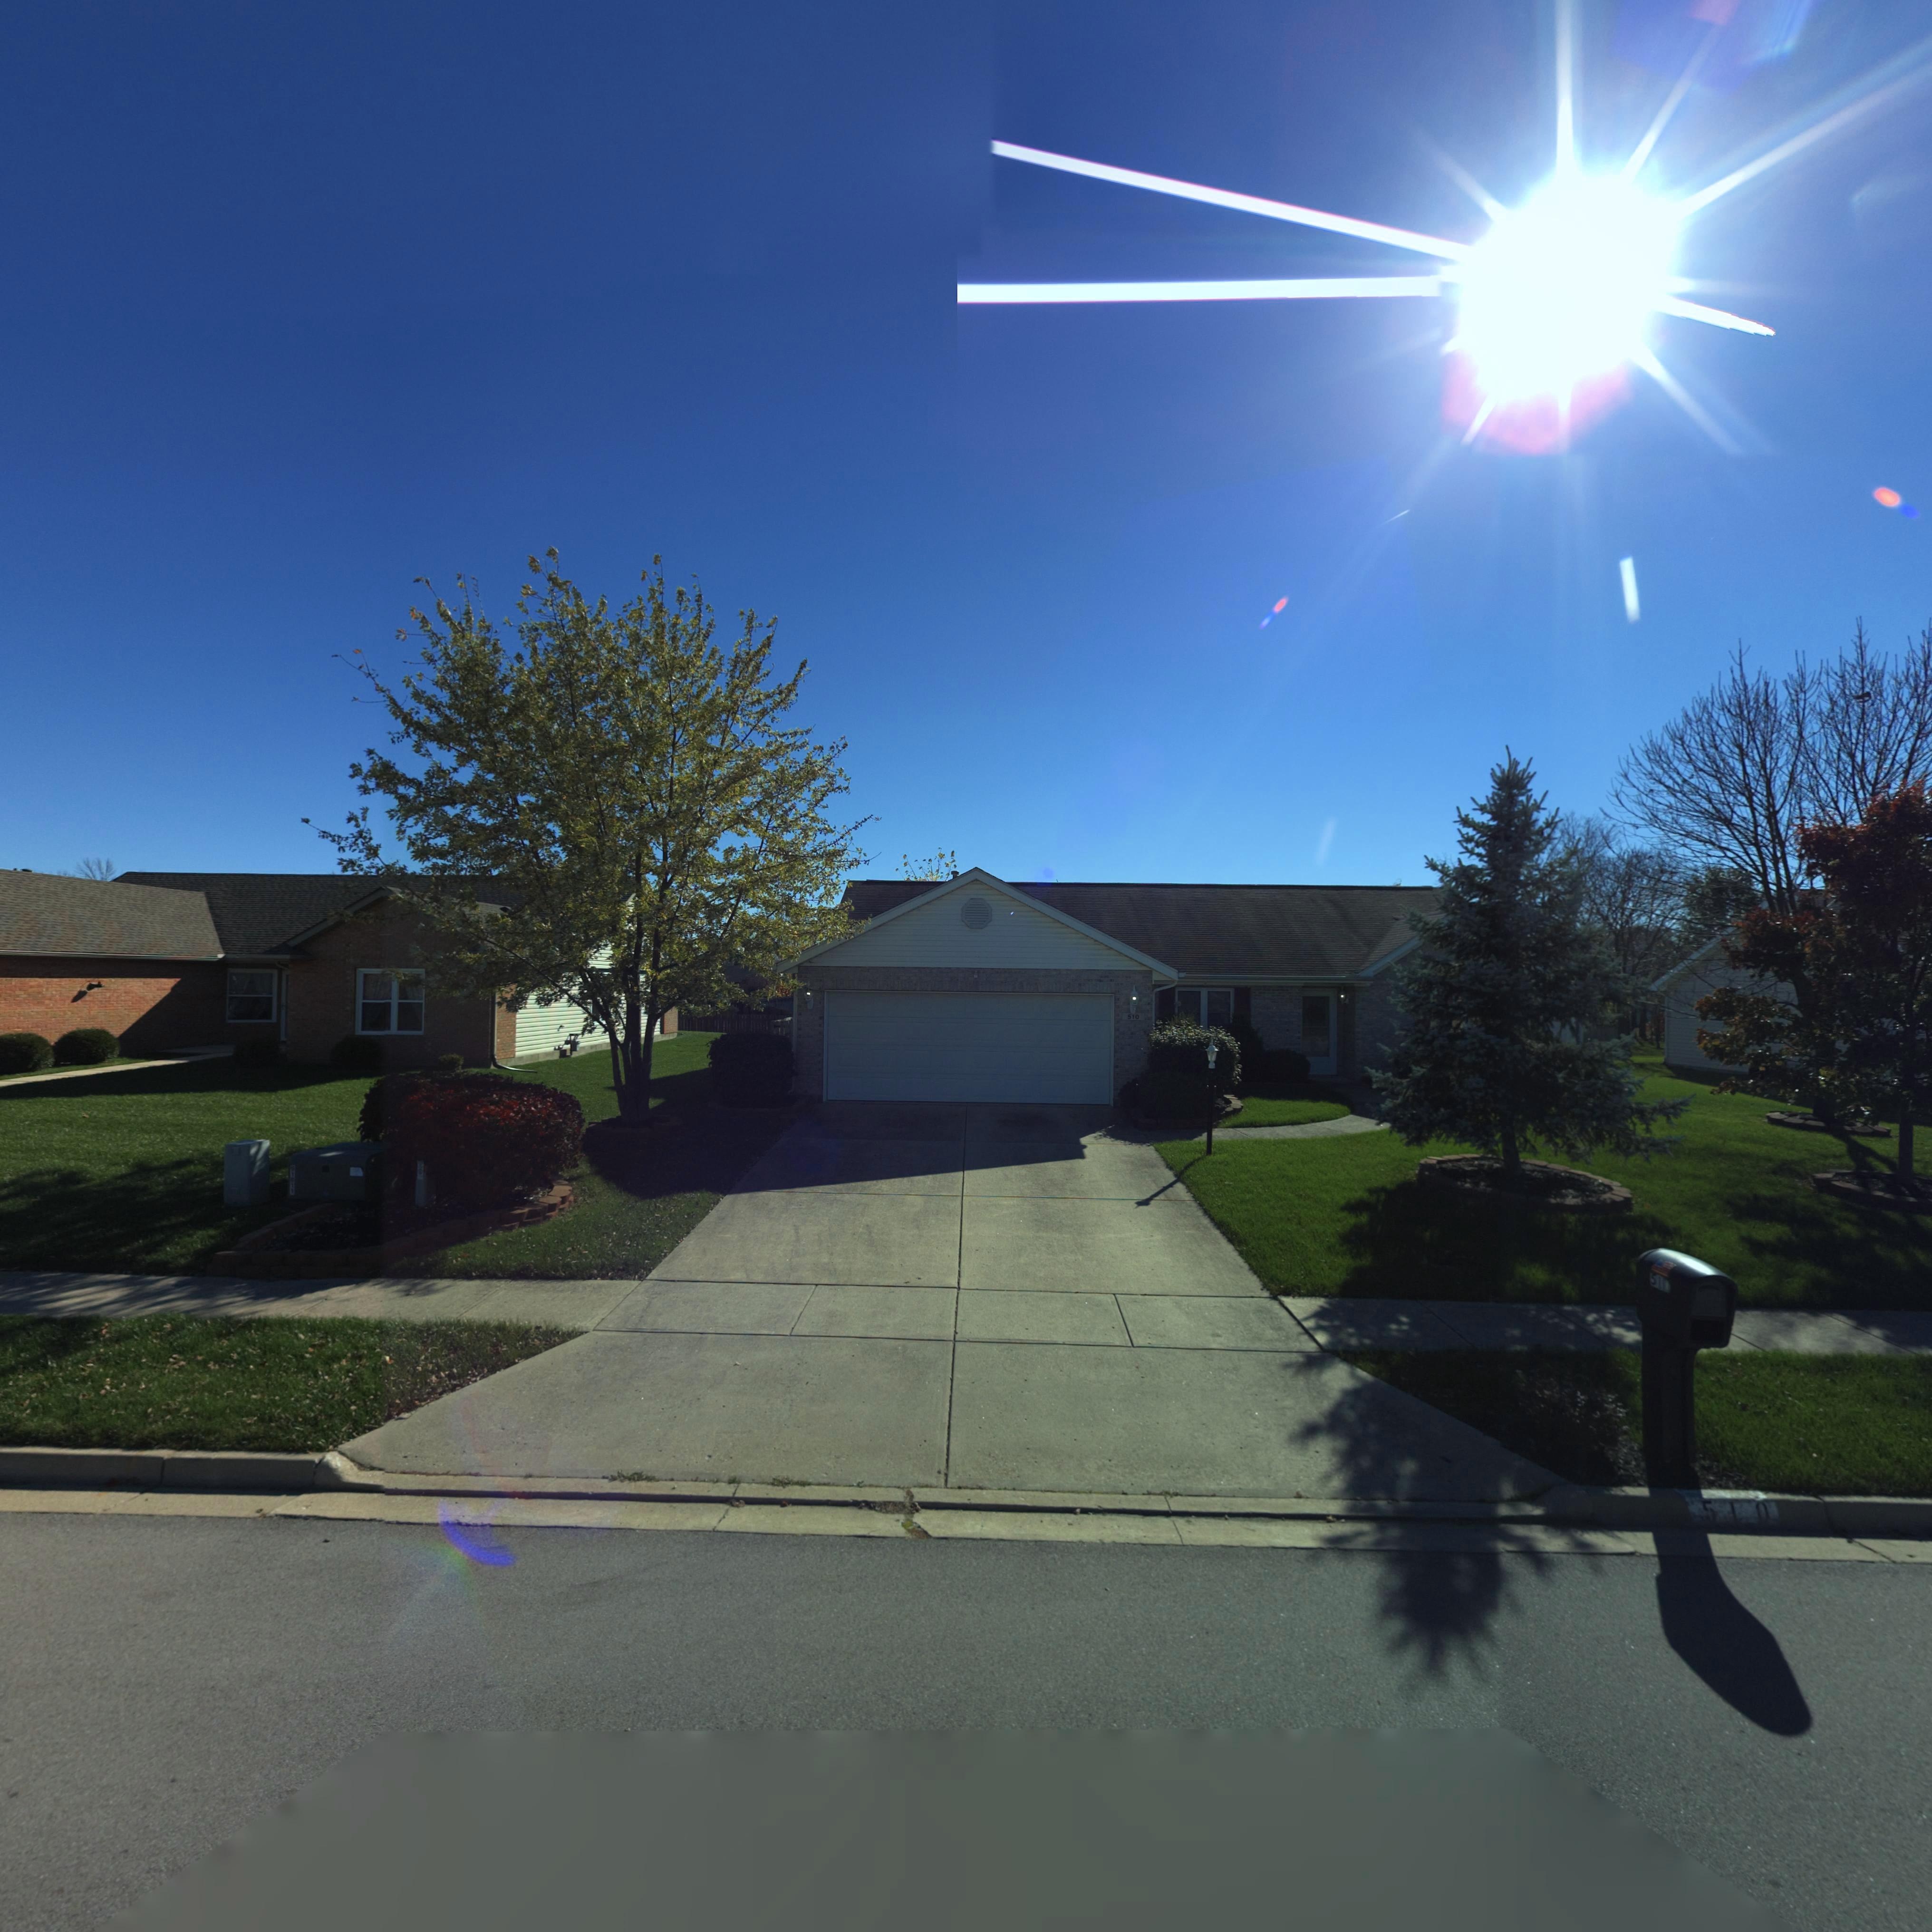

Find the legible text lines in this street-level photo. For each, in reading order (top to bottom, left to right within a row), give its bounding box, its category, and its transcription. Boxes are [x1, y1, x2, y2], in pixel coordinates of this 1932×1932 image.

[1127, 1014, 1140, 1020] StreetNumber: 510
[1648, 1271, 1671, 1295] StreetNumber: 51*
[1699, 1498, 1772, 1525] StreetNumber: 510